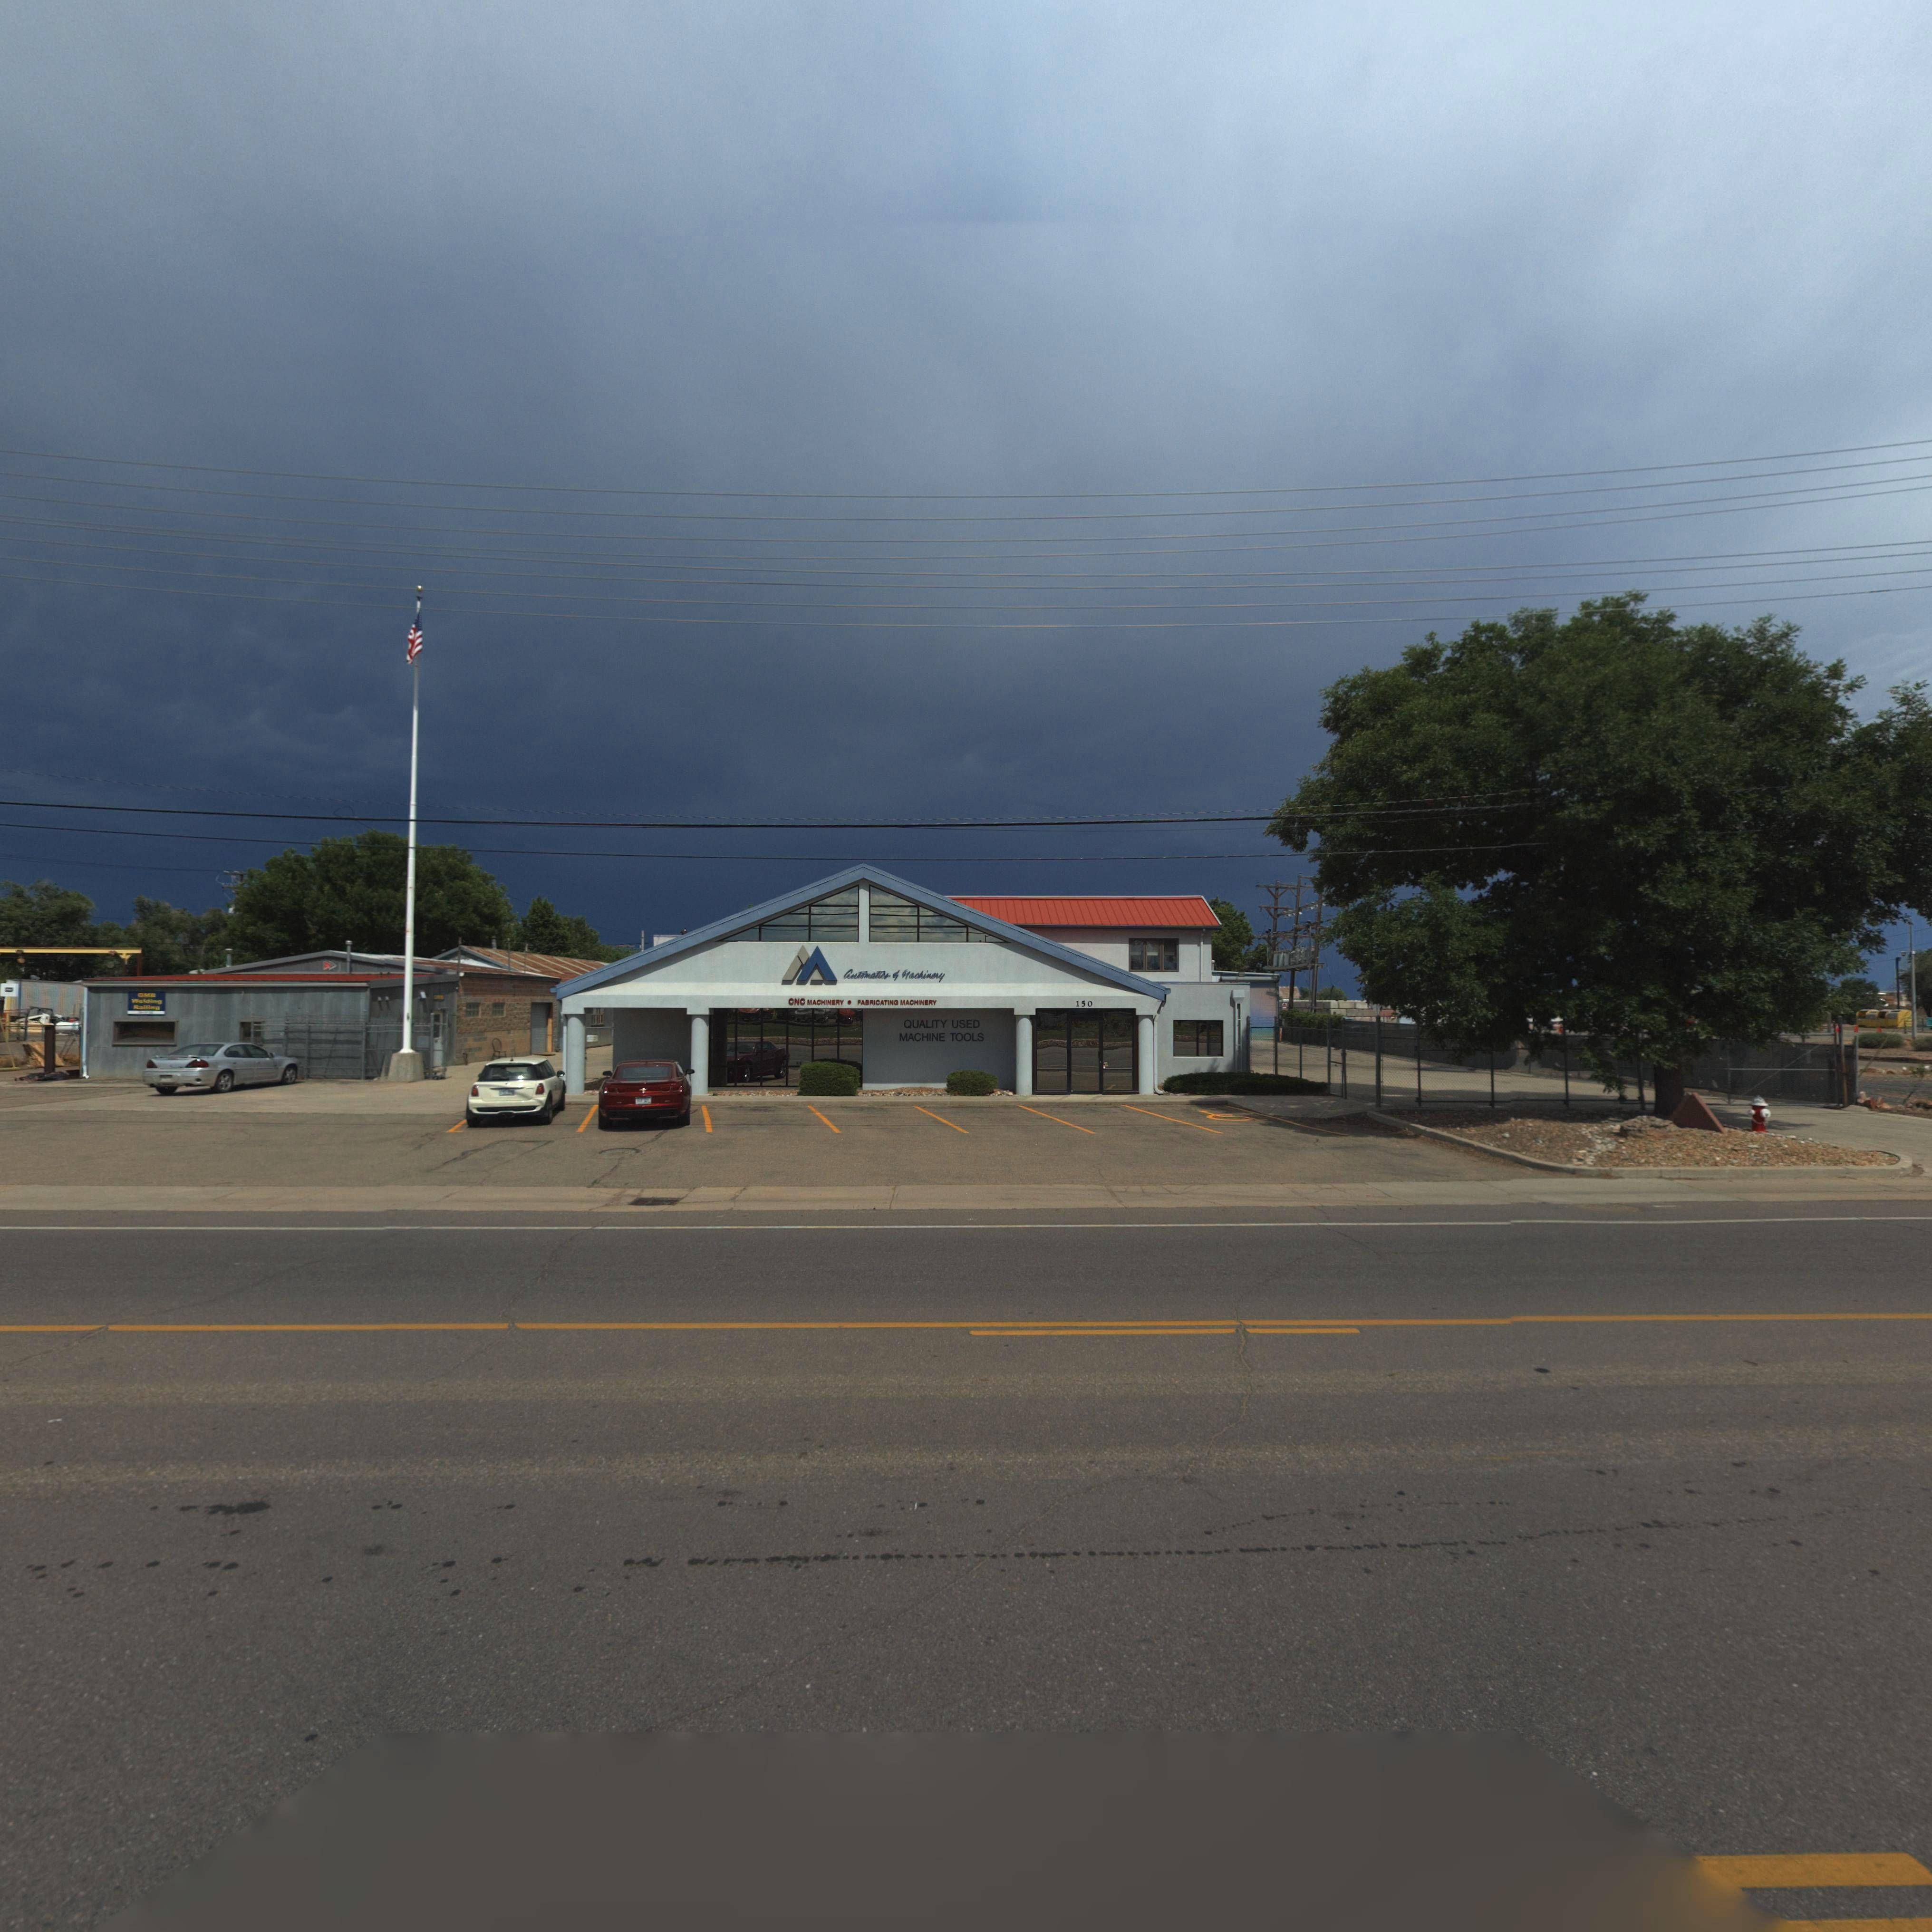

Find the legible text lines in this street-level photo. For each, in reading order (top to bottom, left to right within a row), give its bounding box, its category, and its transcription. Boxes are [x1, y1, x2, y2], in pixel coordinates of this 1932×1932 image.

[842, 966, 950, 984] BusinessName: Automatics of Machinery
[136, 992, 156, 998] BusinessName: GMB
[130, 998, 163, 1005] BusinessName: Welding
[1076, 1000, 1092, 1007] StreetNumber: 150
[132, 1004, 161, 1011] BusinessName: Railing